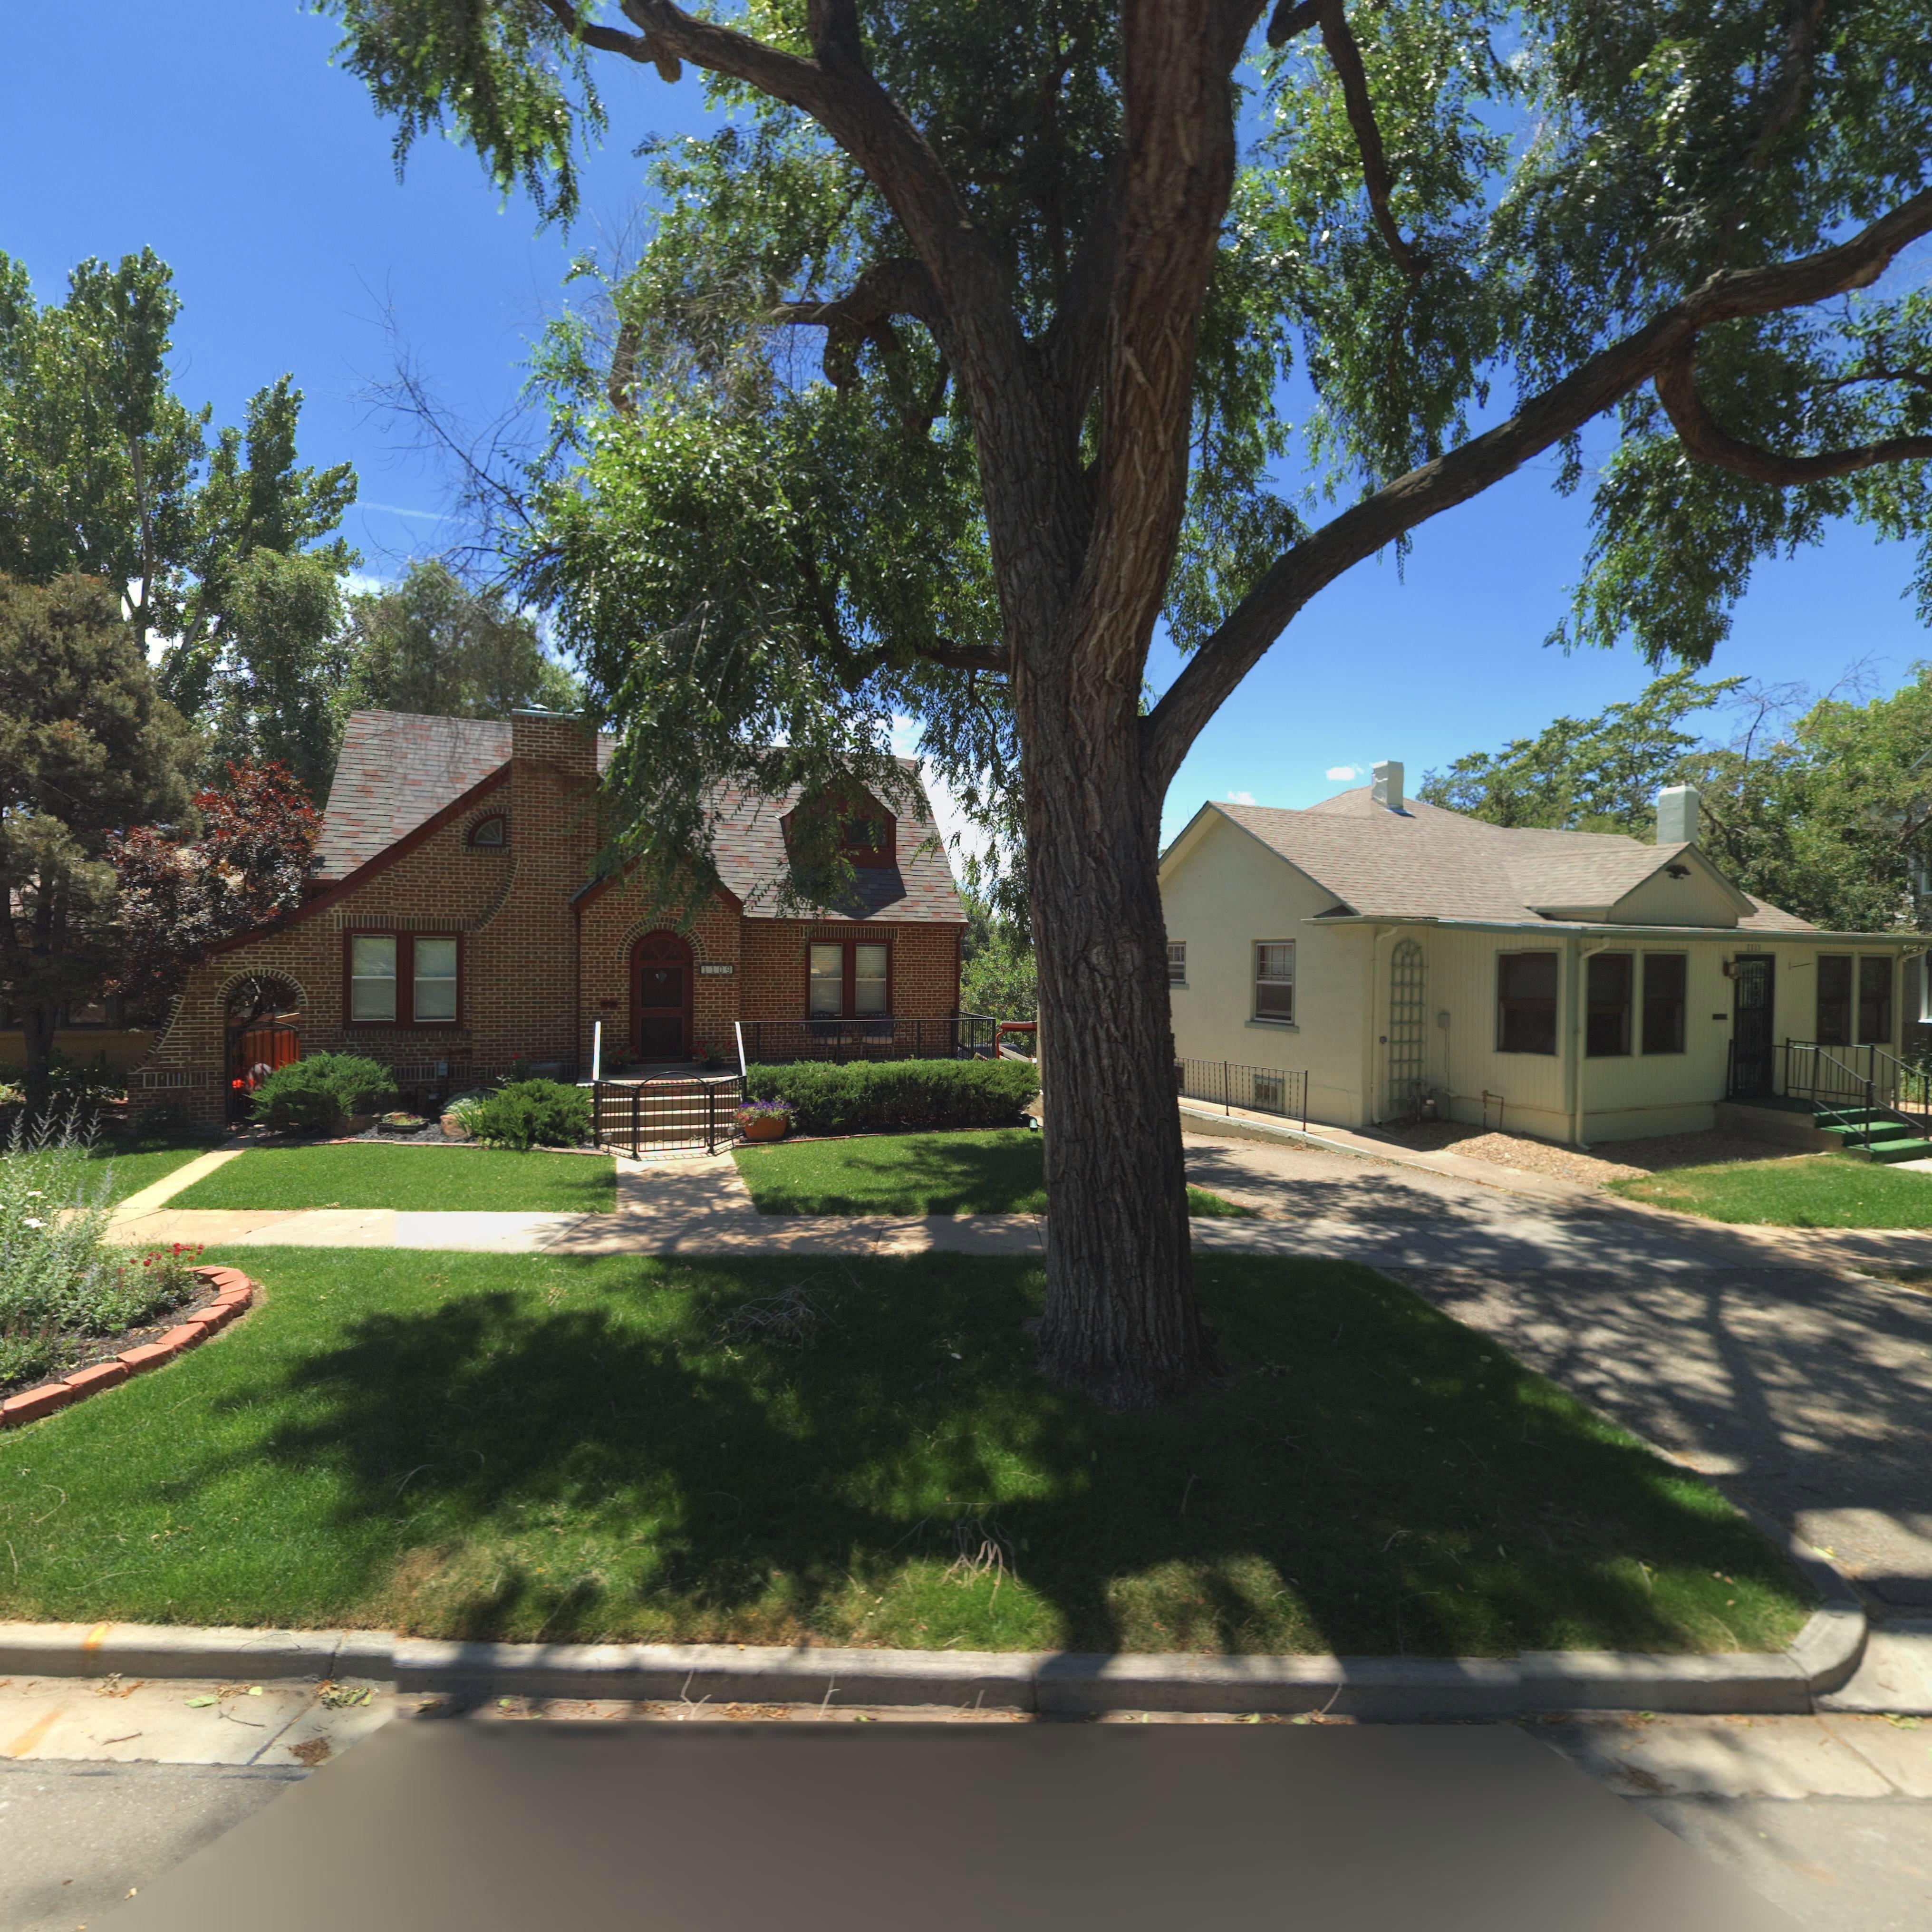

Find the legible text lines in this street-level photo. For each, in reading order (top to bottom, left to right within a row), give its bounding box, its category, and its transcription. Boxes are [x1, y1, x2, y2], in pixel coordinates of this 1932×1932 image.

[1746, 944, 1761, 951] StreetNumber: 1111
[703, 966, 731, 973] StreetNumber: 1109